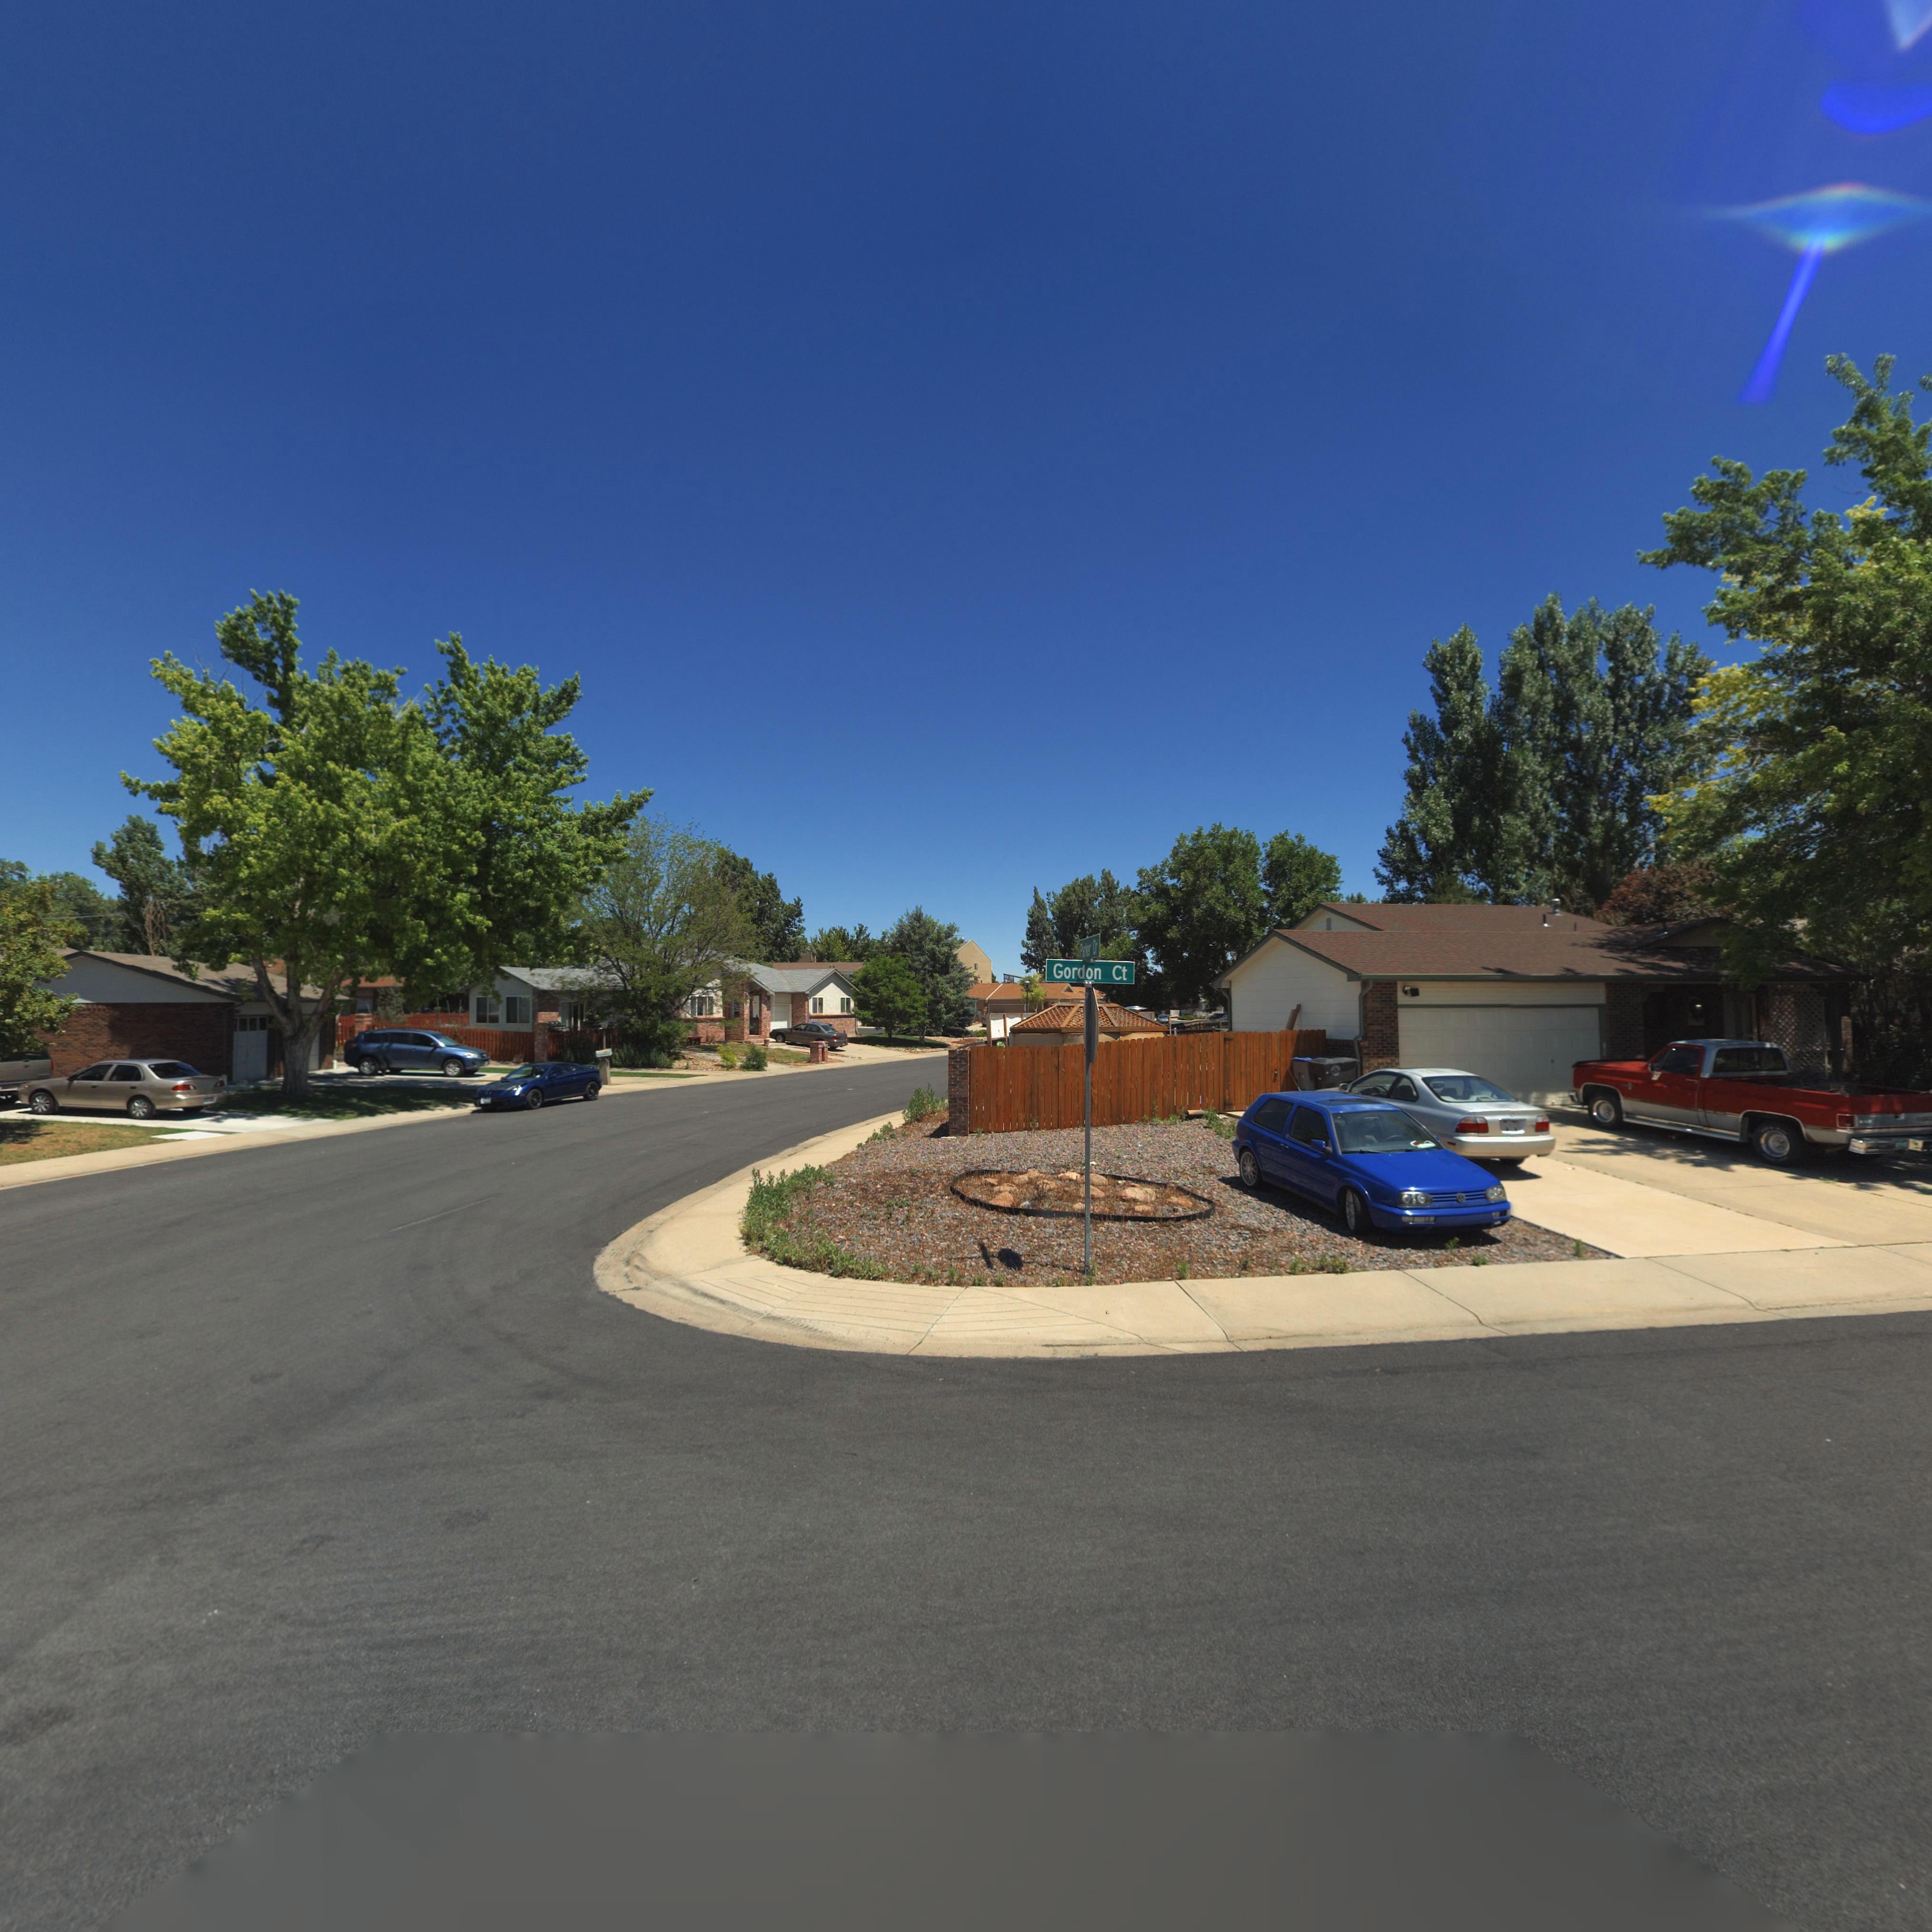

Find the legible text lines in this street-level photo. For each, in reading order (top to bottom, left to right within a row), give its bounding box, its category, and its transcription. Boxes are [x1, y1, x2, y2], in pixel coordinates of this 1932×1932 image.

[1079, 939, 1098, 958] StreetName: Parter Dr
[1052, 963, 1127, 981] StreetName: Gordon Ct